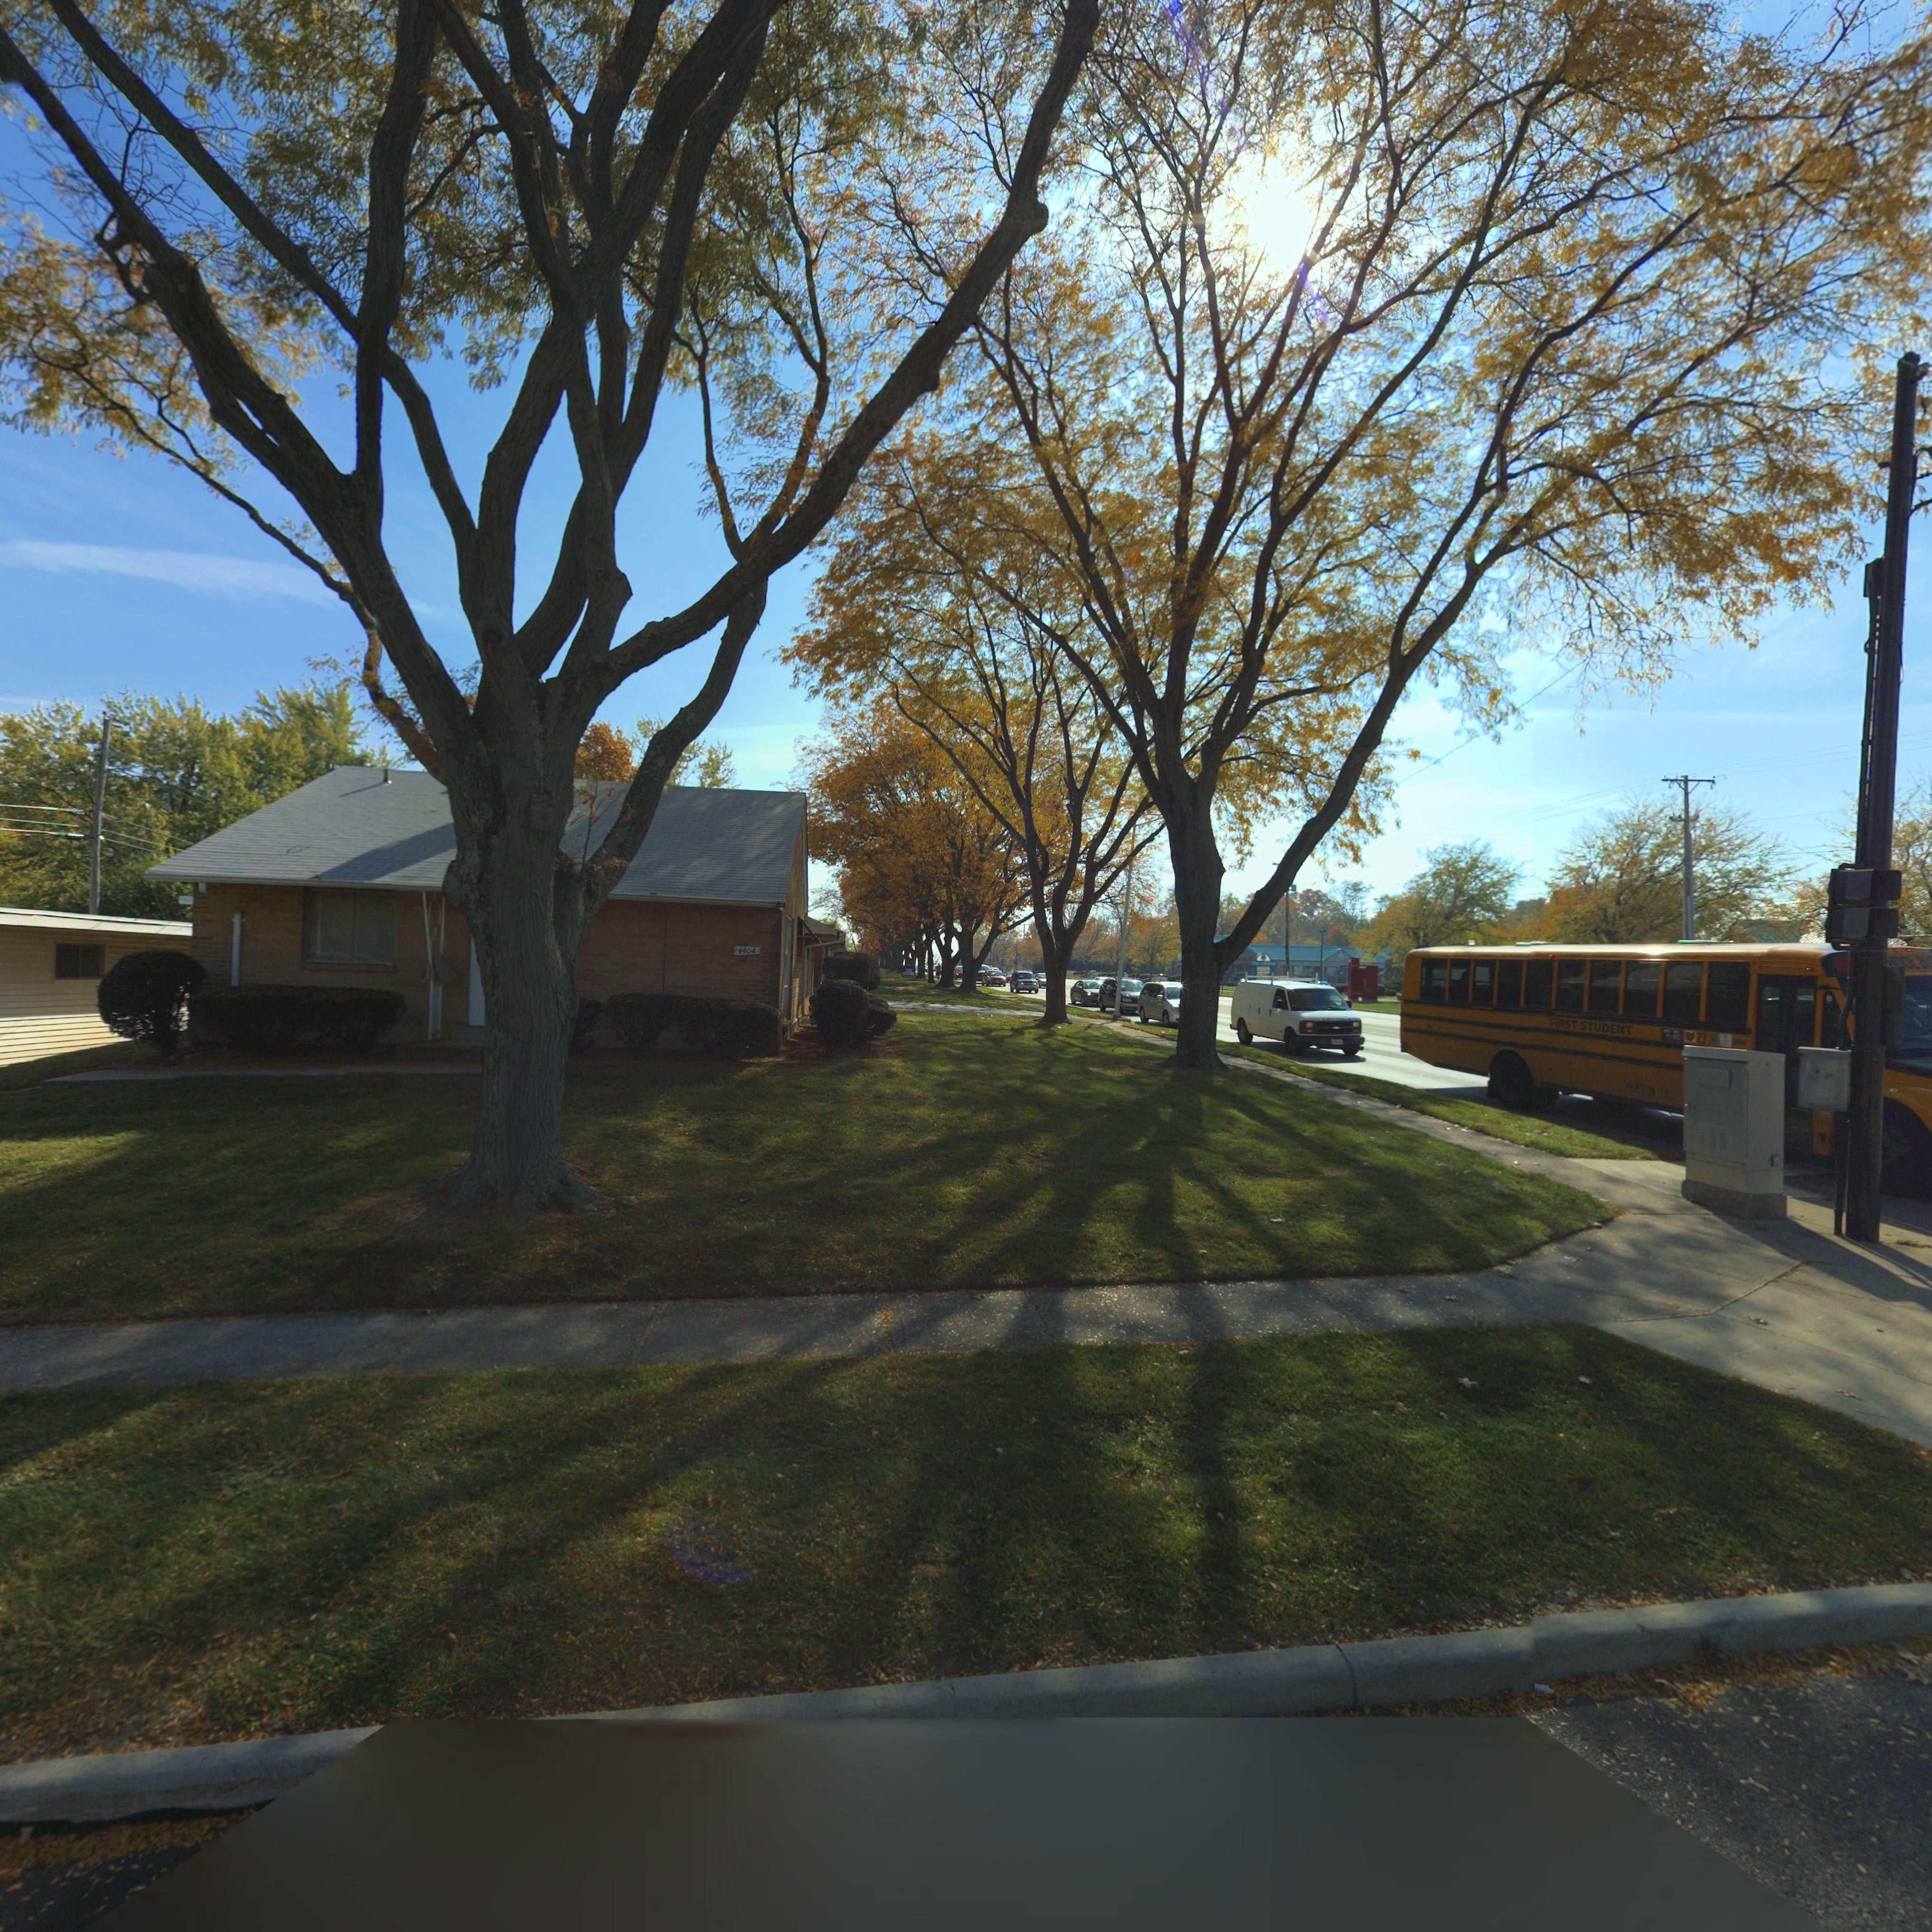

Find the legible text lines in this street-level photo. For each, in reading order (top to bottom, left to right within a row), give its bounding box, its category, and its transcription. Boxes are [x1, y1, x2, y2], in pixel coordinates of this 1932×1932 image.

[736, 946, 757, 956] StreetNumber: 4404